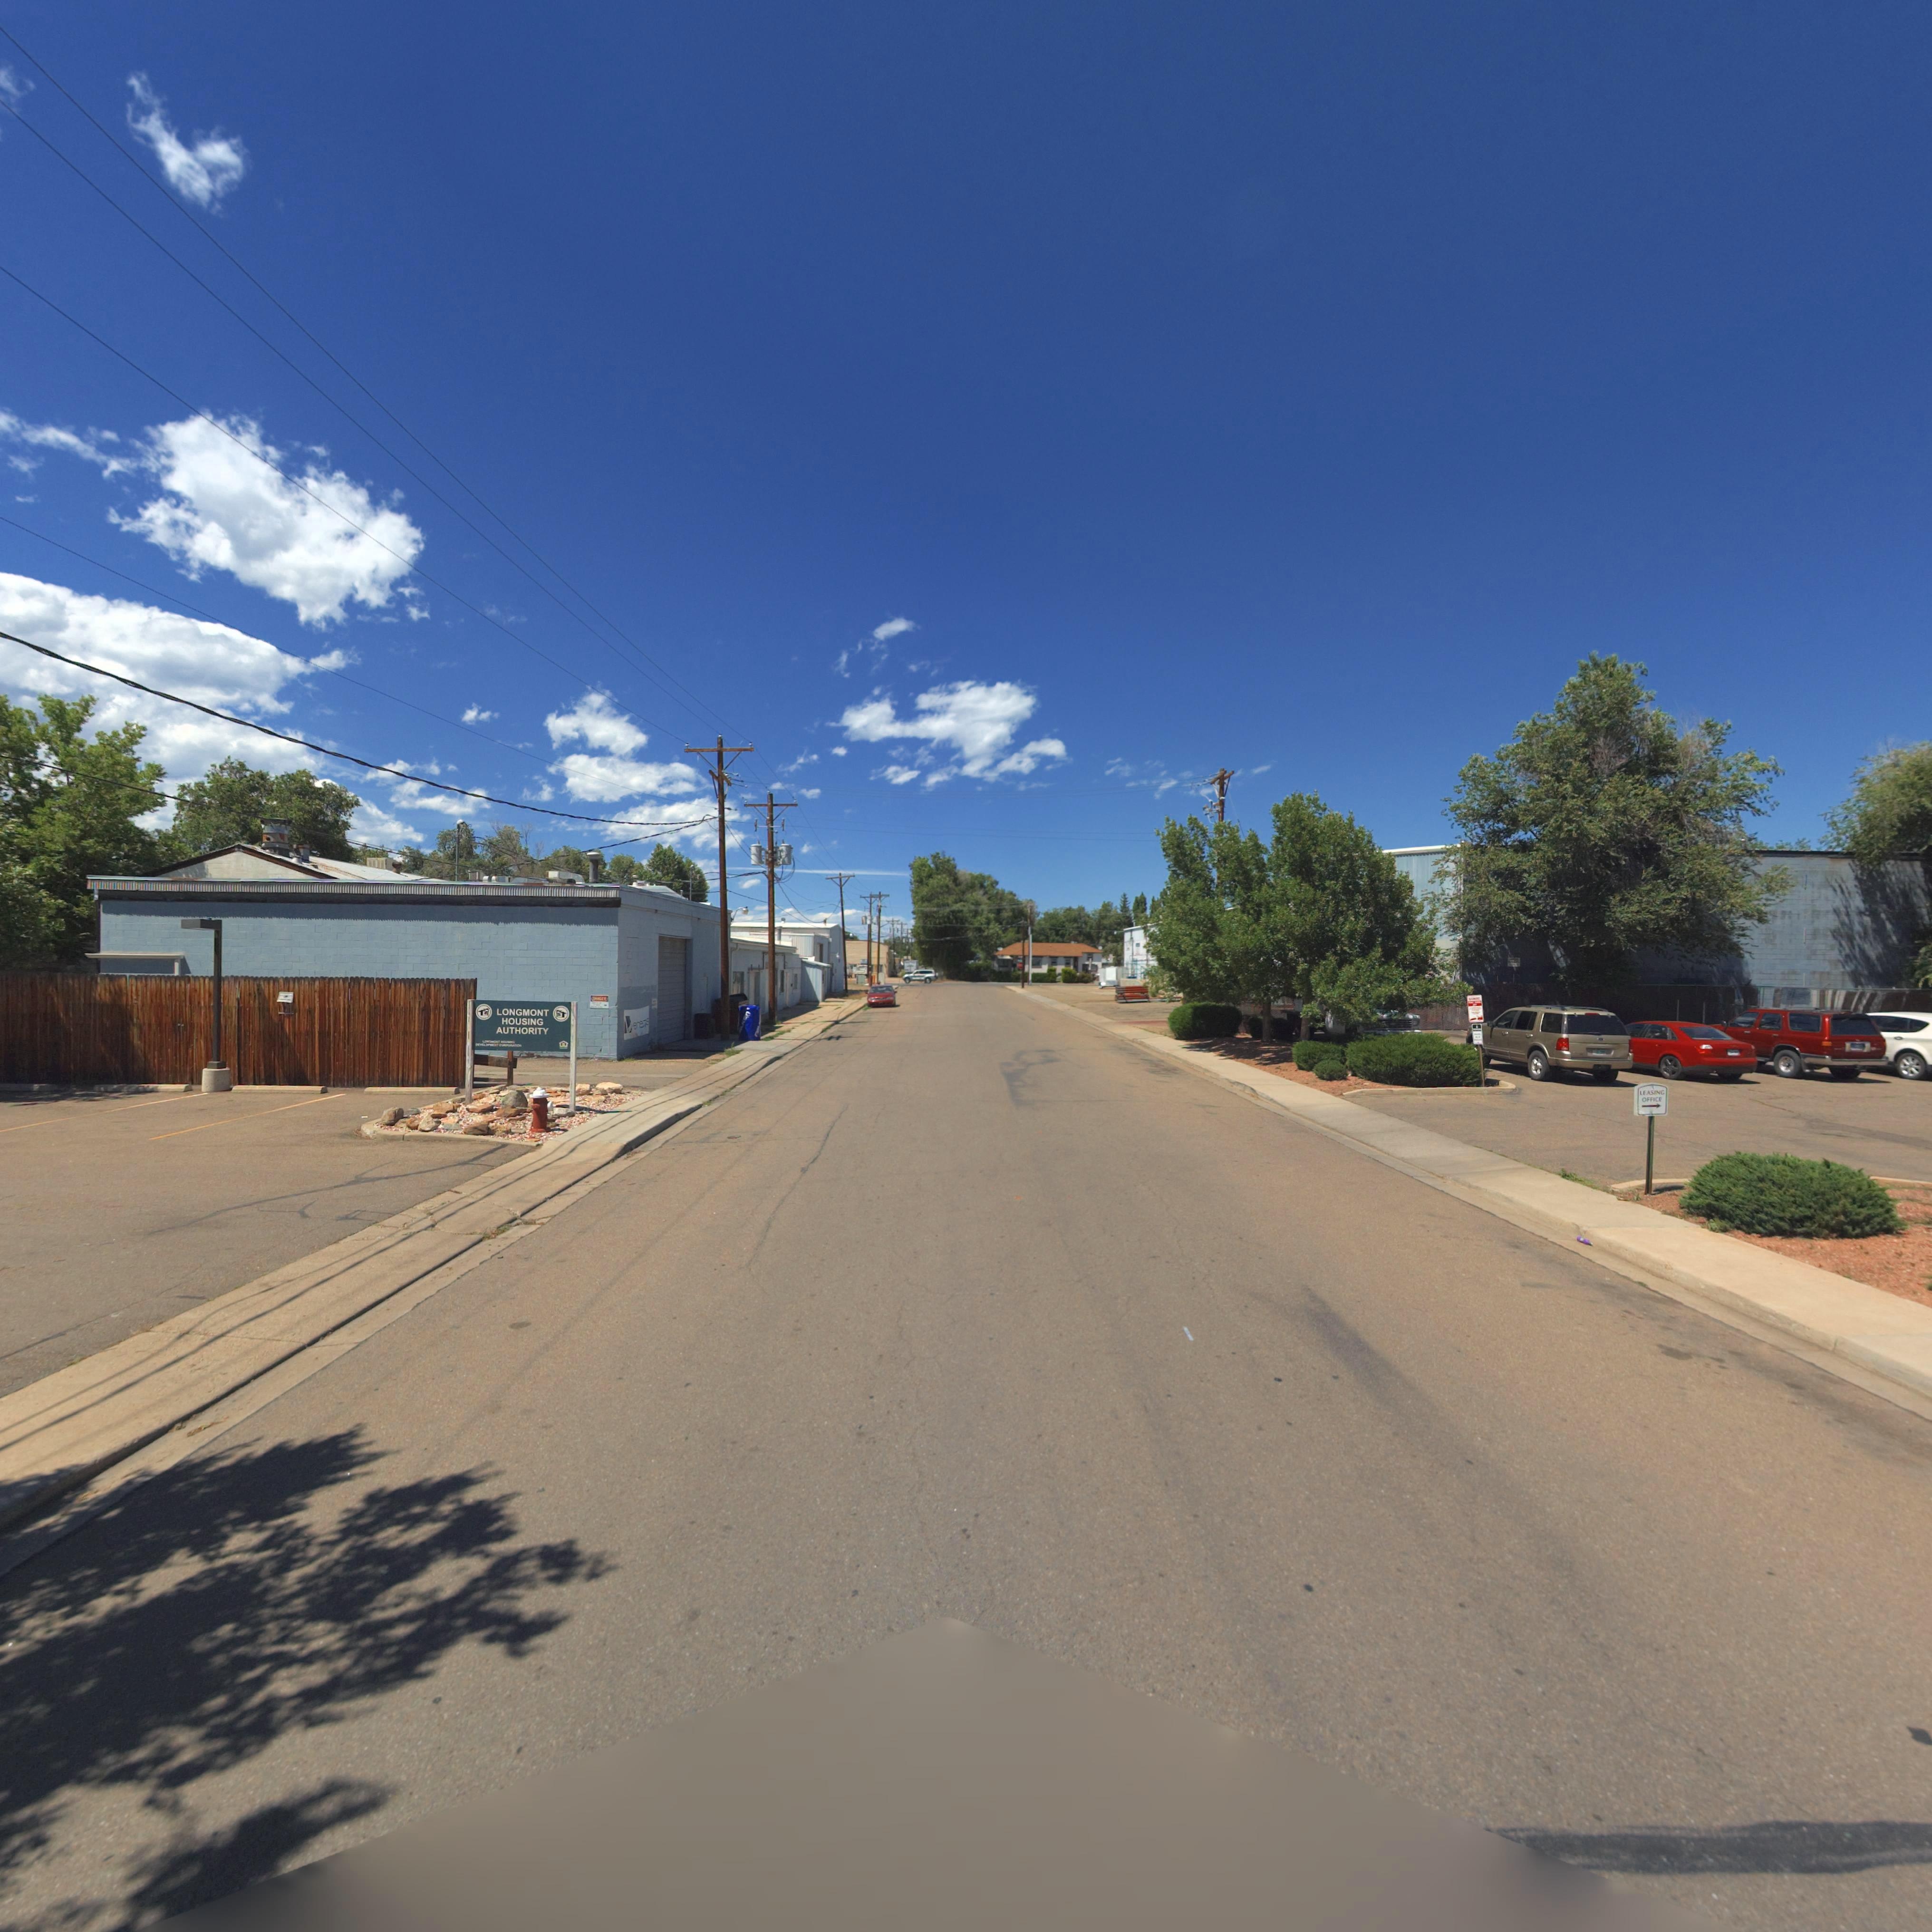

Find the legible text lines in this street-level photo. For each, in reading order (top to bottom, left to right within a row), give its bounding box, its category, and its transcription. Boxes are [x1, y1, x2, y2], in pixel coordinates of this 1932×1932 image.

[496, 1007, 549, 1016] BusinessName: LONGMONT
[501, 1017, 543, 1025] BusinessName: HOUSING
[495, 1026, 550, 1034] BusinessName: AUTHORITY